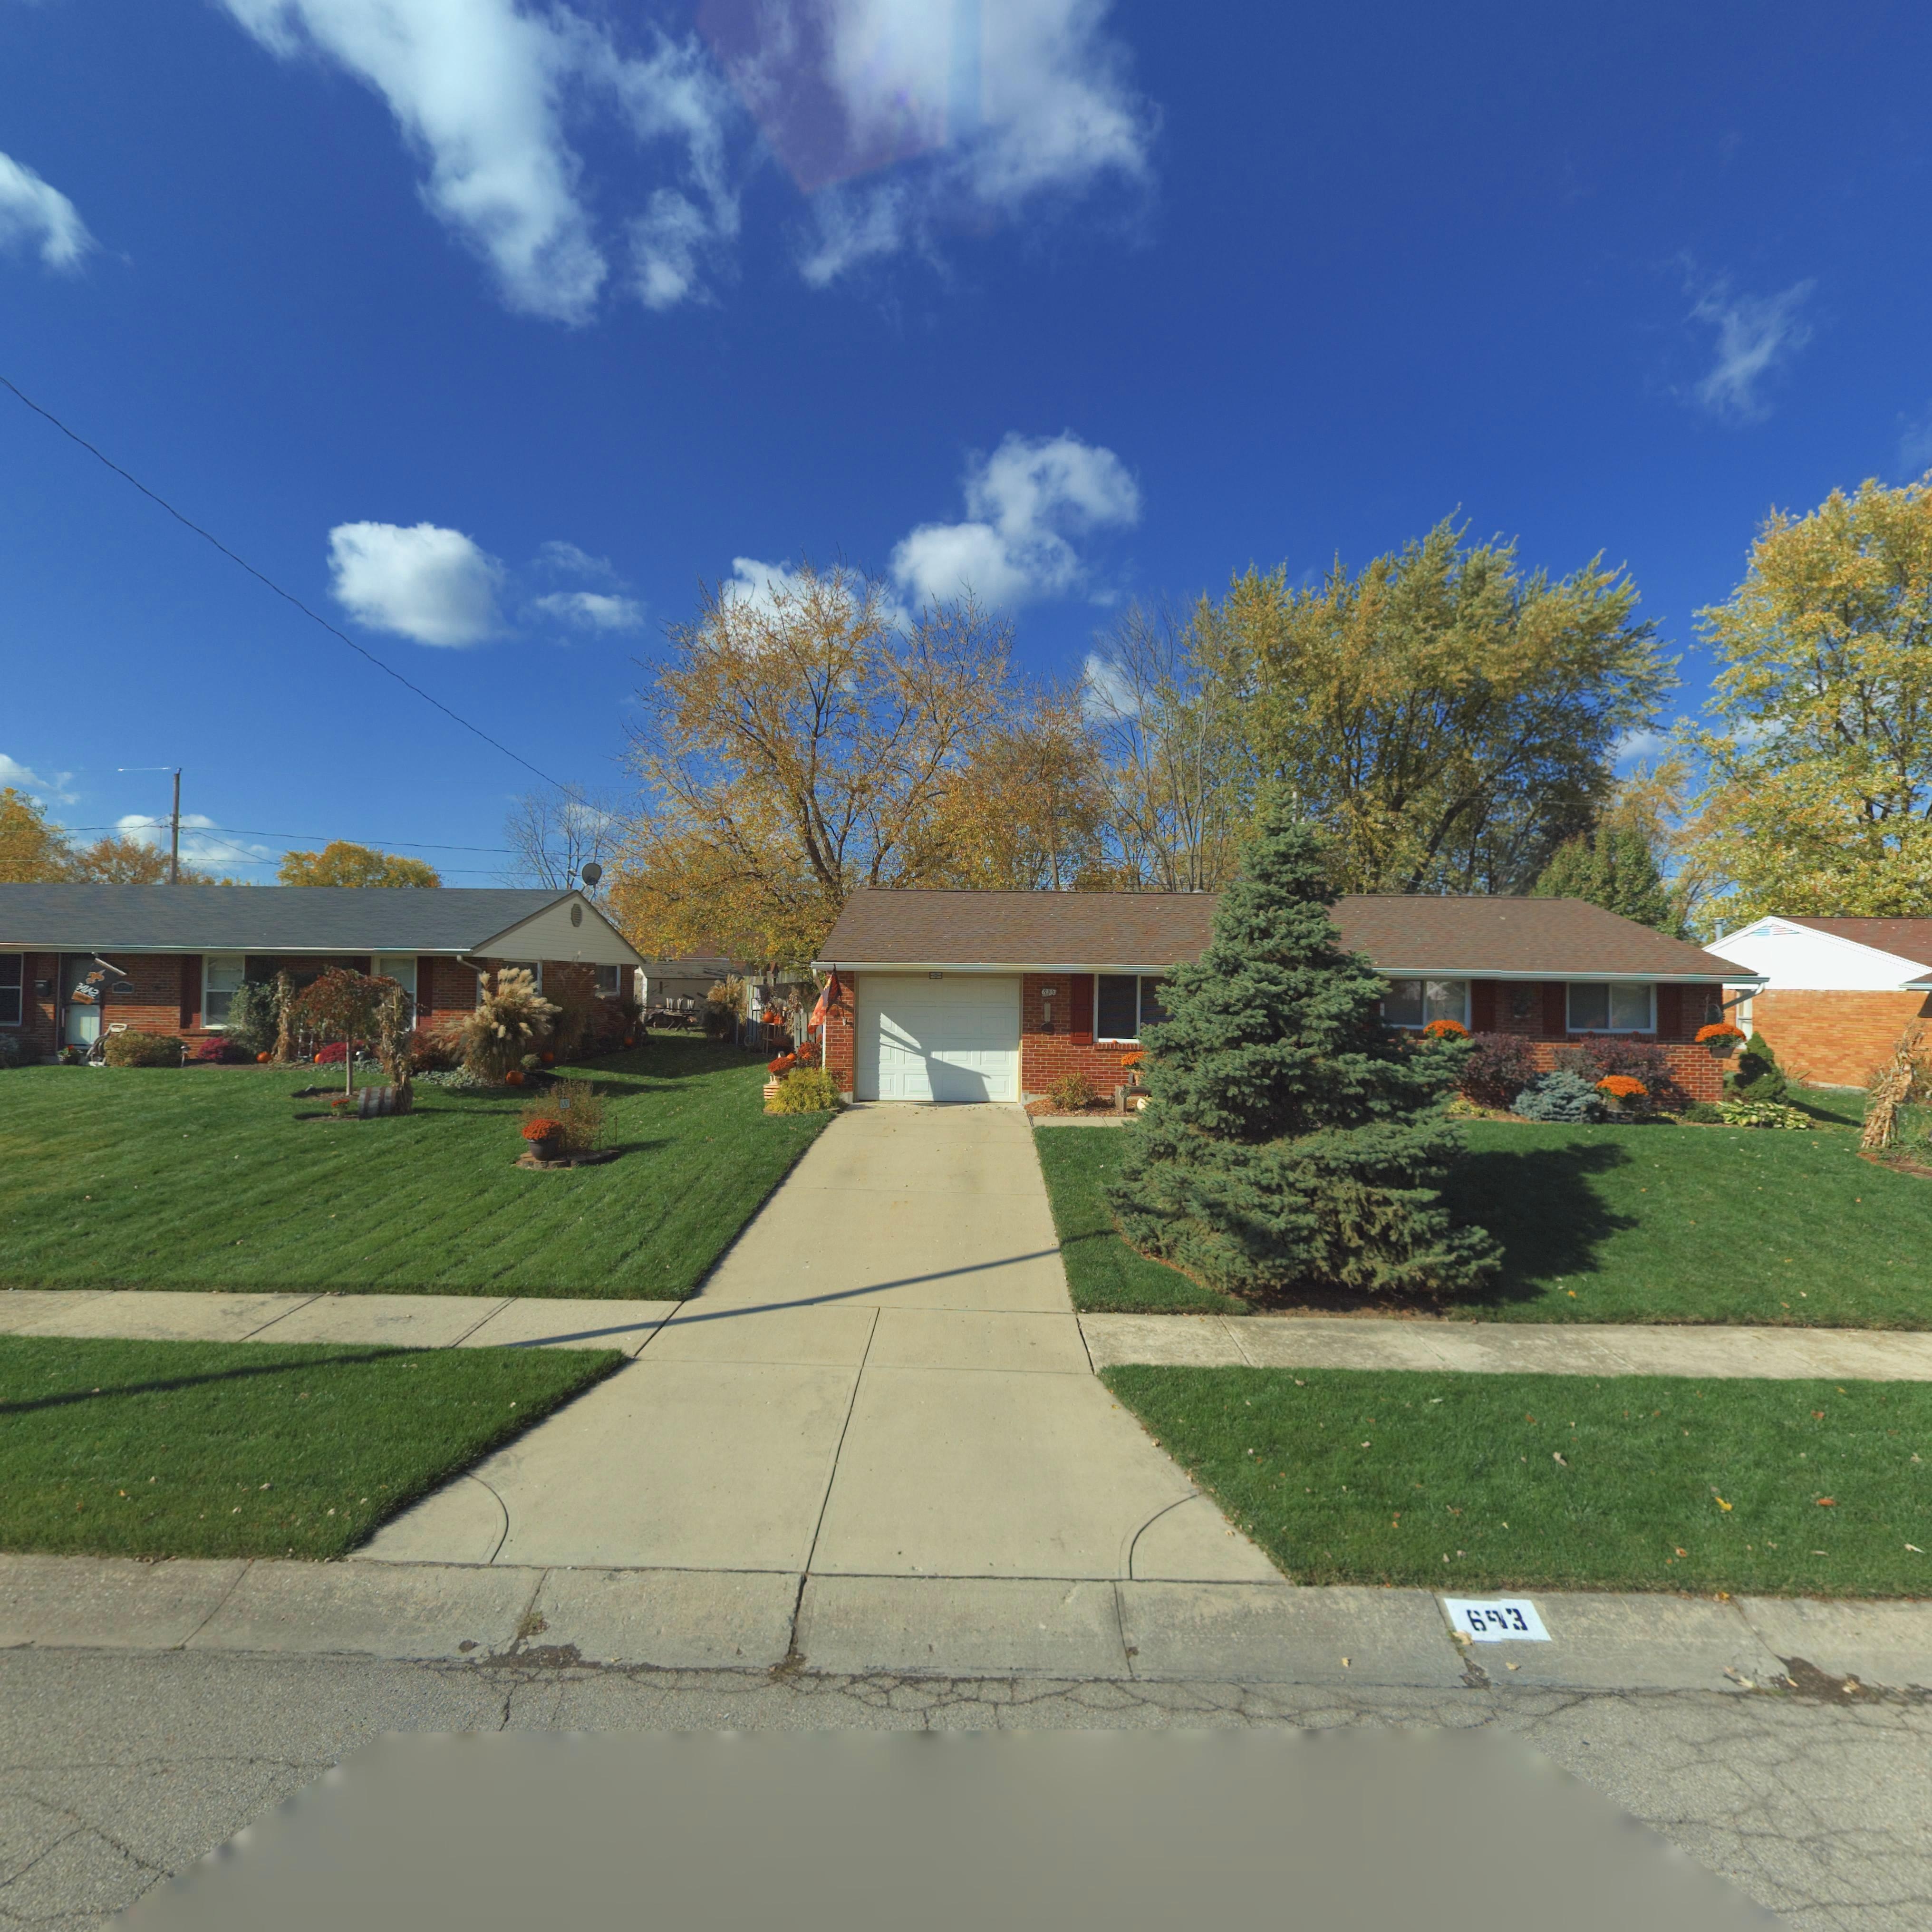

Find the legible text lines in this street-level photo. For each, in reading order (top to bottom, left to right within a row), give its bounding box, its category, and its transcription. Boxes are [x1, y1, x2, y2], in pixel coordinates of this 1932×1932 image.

[1040, 988, 1058, 997] StreetNumber: 6933
[1463, 1606, 1531, 1634] StreetNumber: 6*3